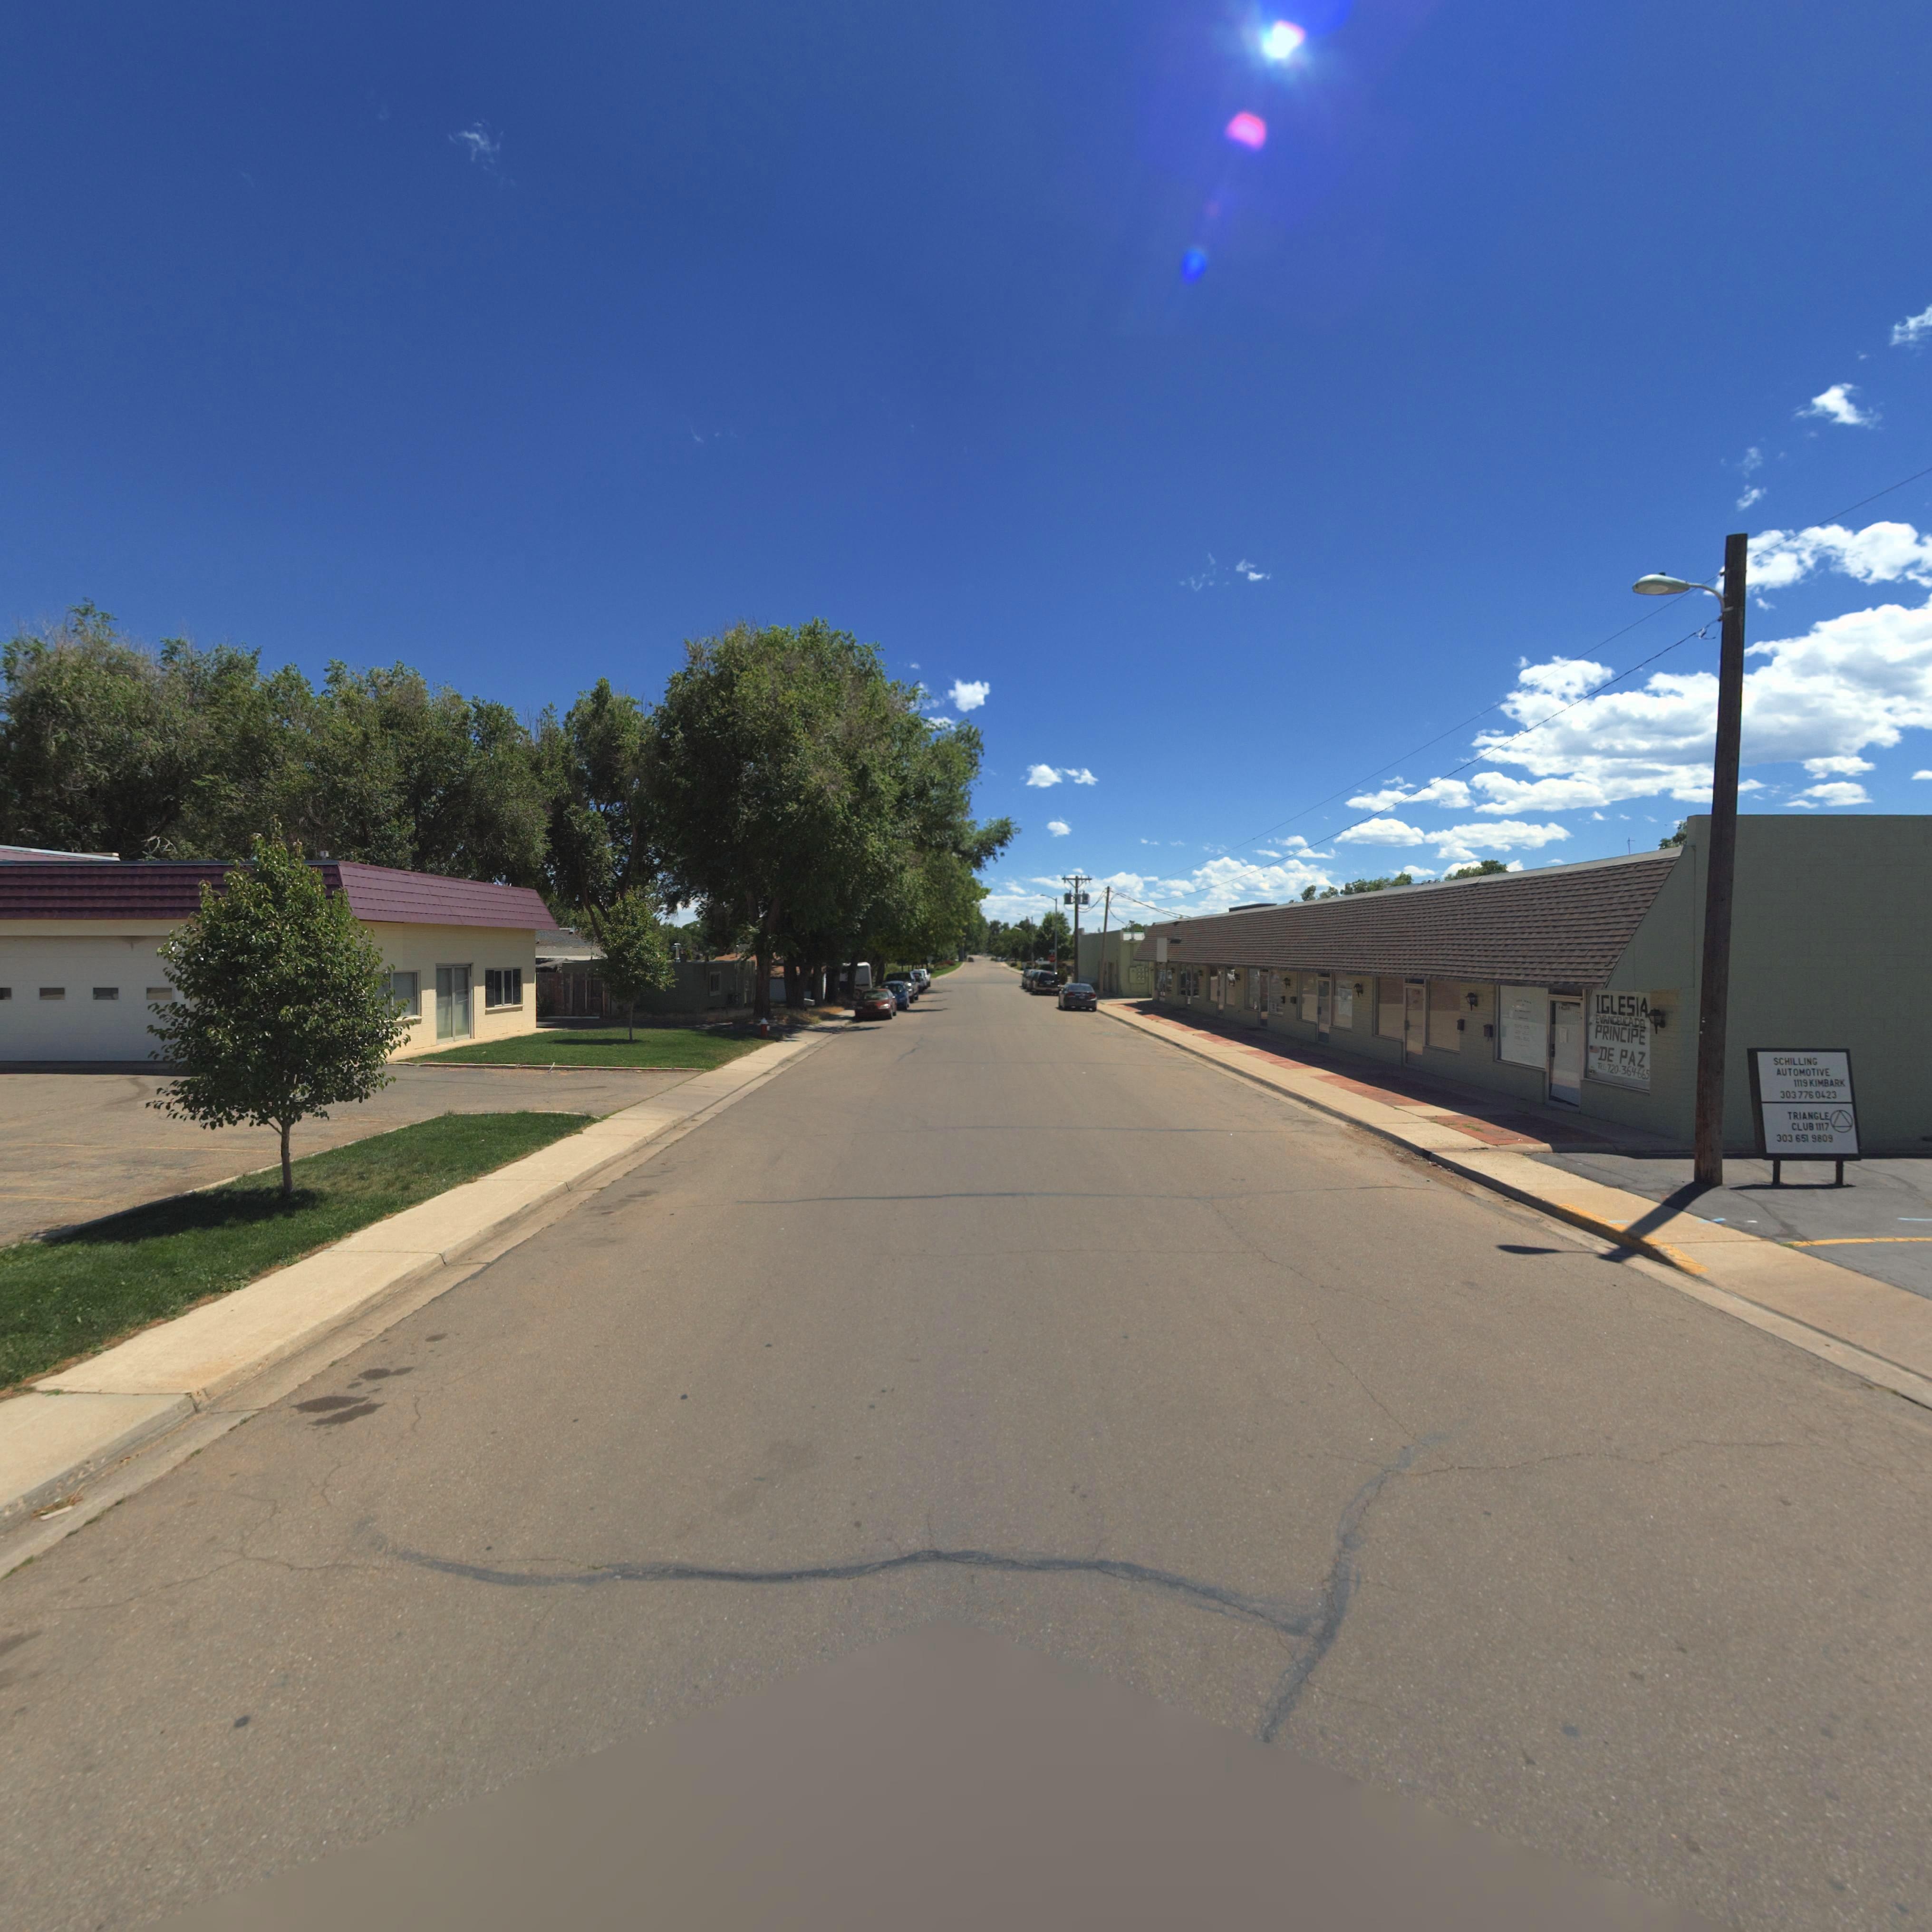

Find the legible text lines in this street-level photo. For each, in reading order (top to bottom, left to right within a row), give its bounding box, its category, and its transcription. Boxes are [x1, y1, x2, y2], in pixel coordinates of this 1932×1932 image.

[1594, 993, 1649, 1019] BusinessName: IGLESIA
[1595, 1014, 1647, 1029] BusinessName: EVANGE*ICADEL
[1594, 1023, 1646, 1046] BusinessName: PRINCIPE
[1597, 1045, 1646, 1068] BusinessName: DE PAZ
[1773, 1056, 1817, 1065] BusinessName: SCHILLING
[1776, 1067, 1831, 1076] BusinessName: AUTOMOTIVE
[1793, 1078, 1808, 1087] StreetNumber: 1119
[1808, 1078, 1846, 1087] StreetName: KIMBARK
[1787, 1111, 1830, 1121] BusinessName: TRIANGLE
[1791, 1122, 1814, 1131] BusinessName: CLUB
[1815, 1121, 1829, 1131] StreetNumber: 1117